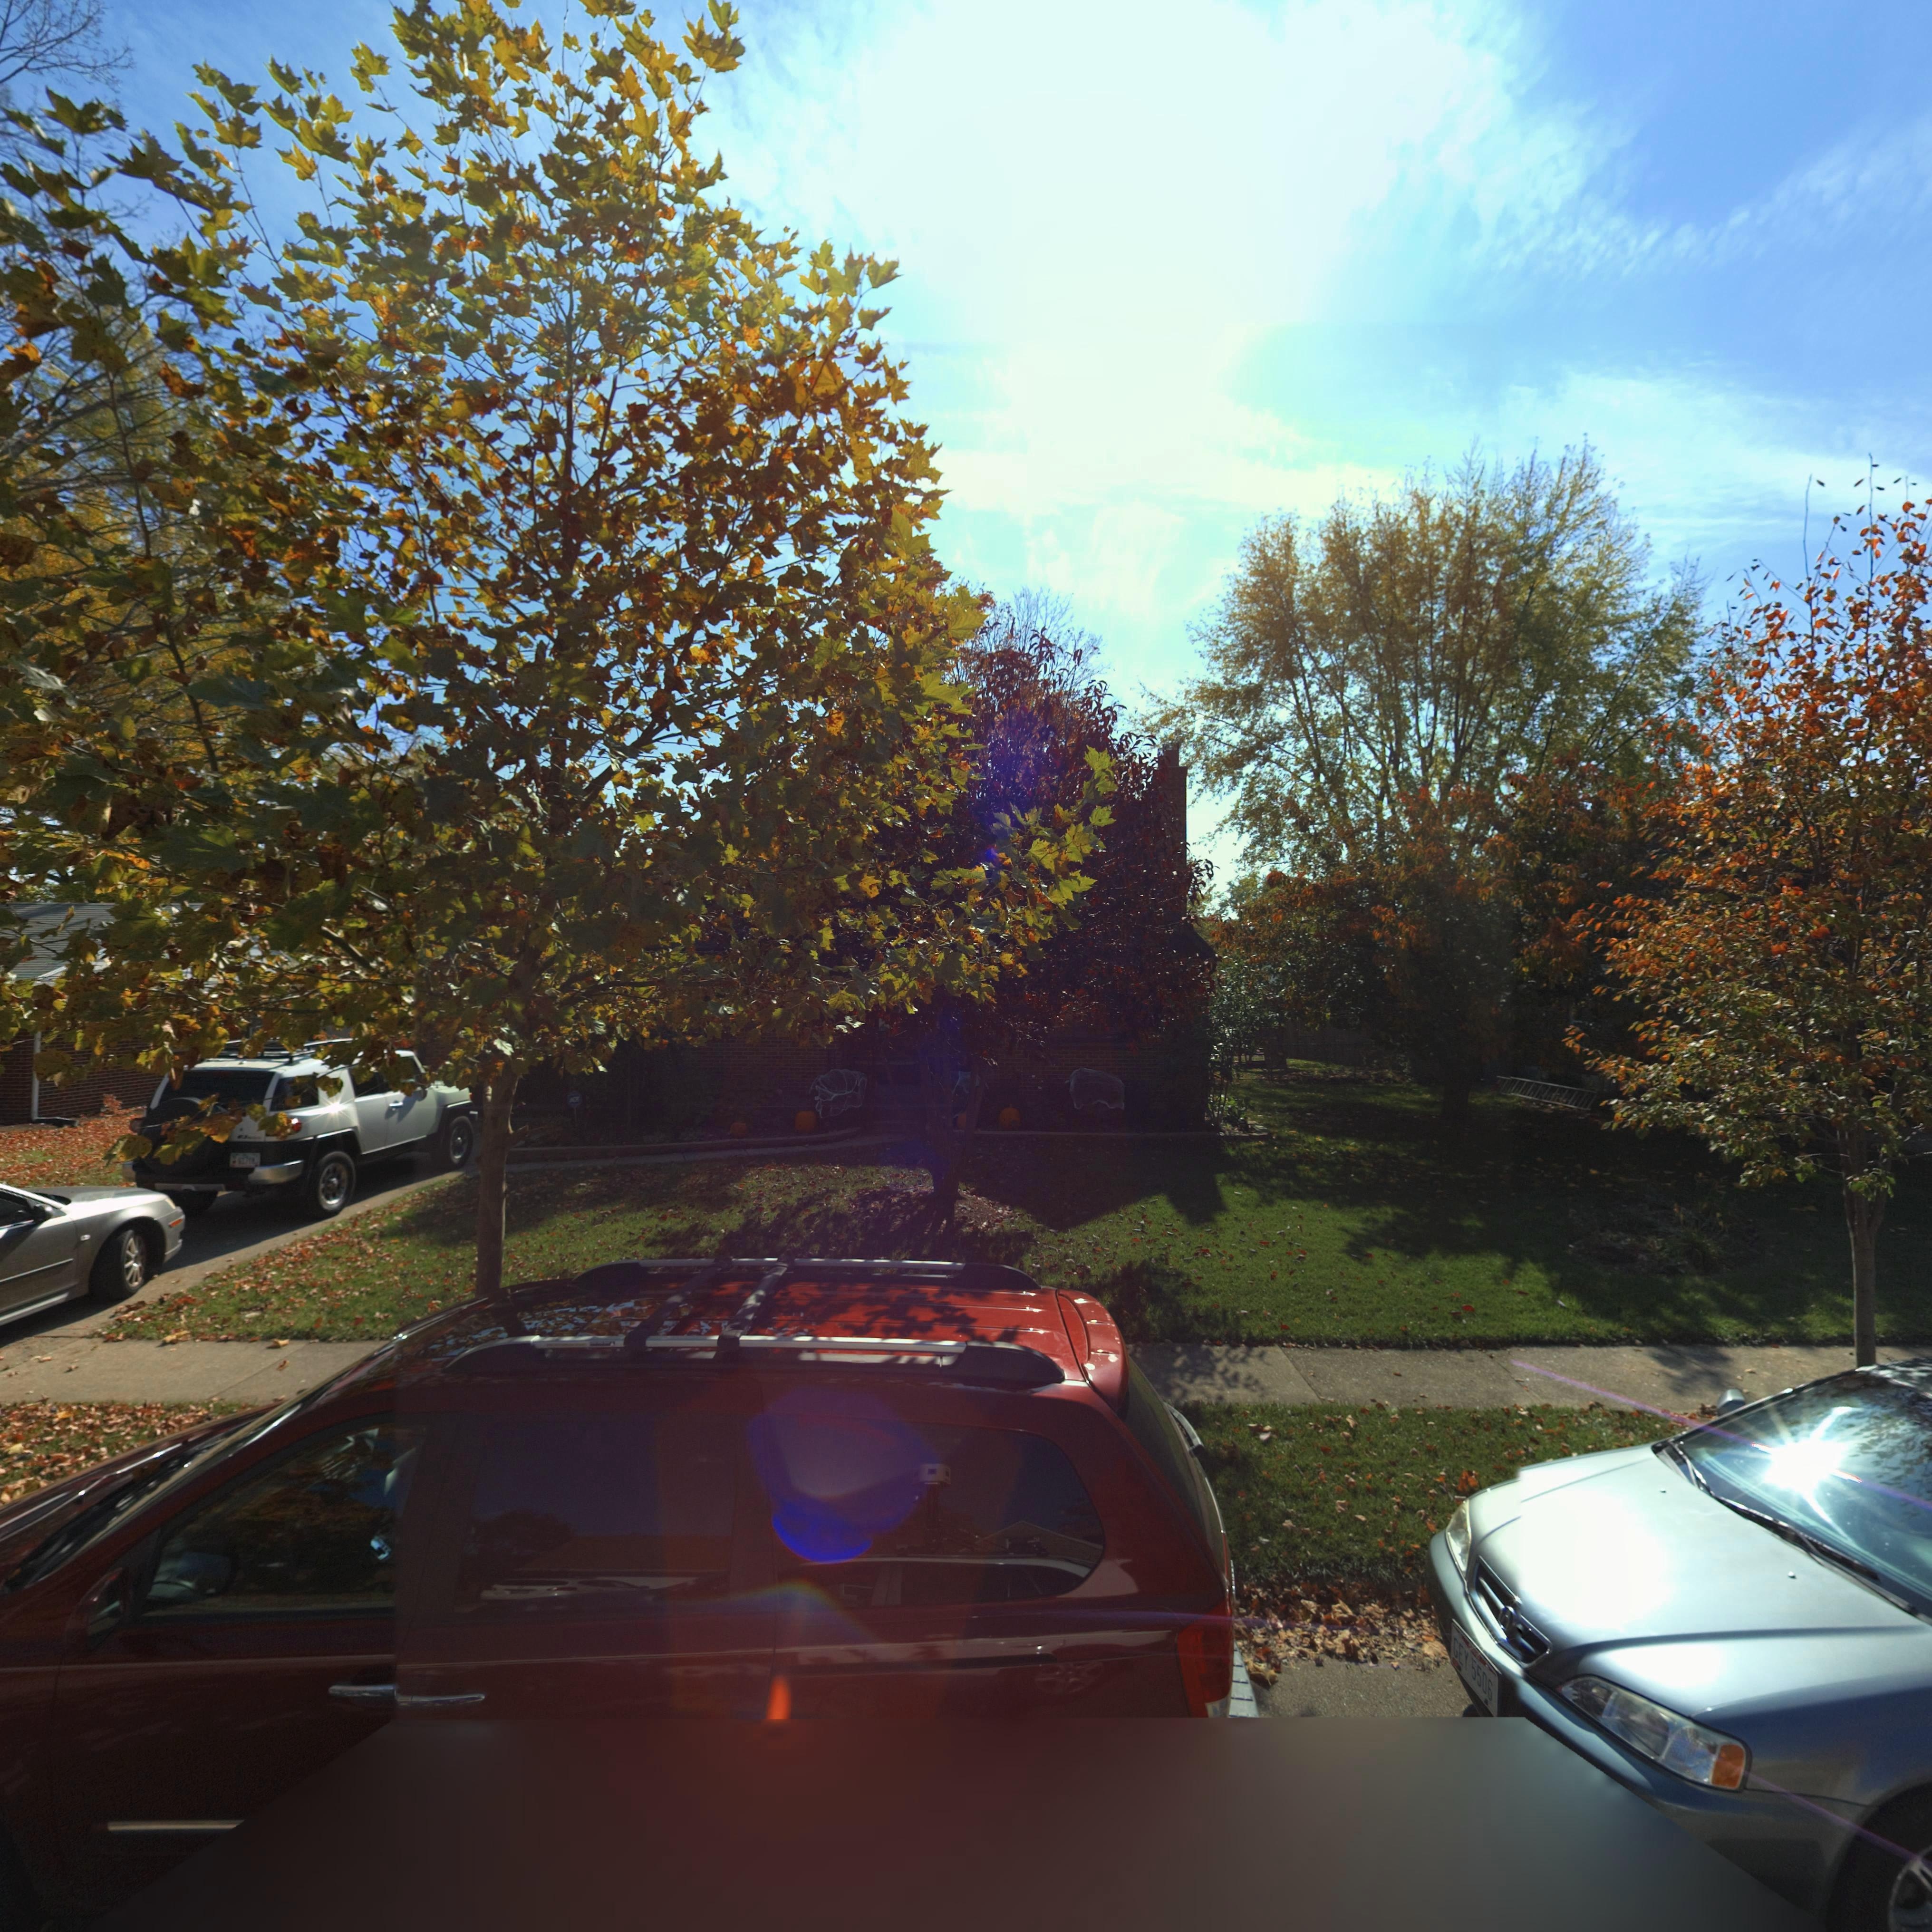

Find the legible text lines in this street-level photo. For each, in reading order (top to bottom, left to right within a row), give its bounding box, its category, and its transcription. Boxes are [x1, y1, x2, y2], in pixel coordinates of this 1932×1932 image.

[1451, 1635, 1495, 1704] None: GEY 5506